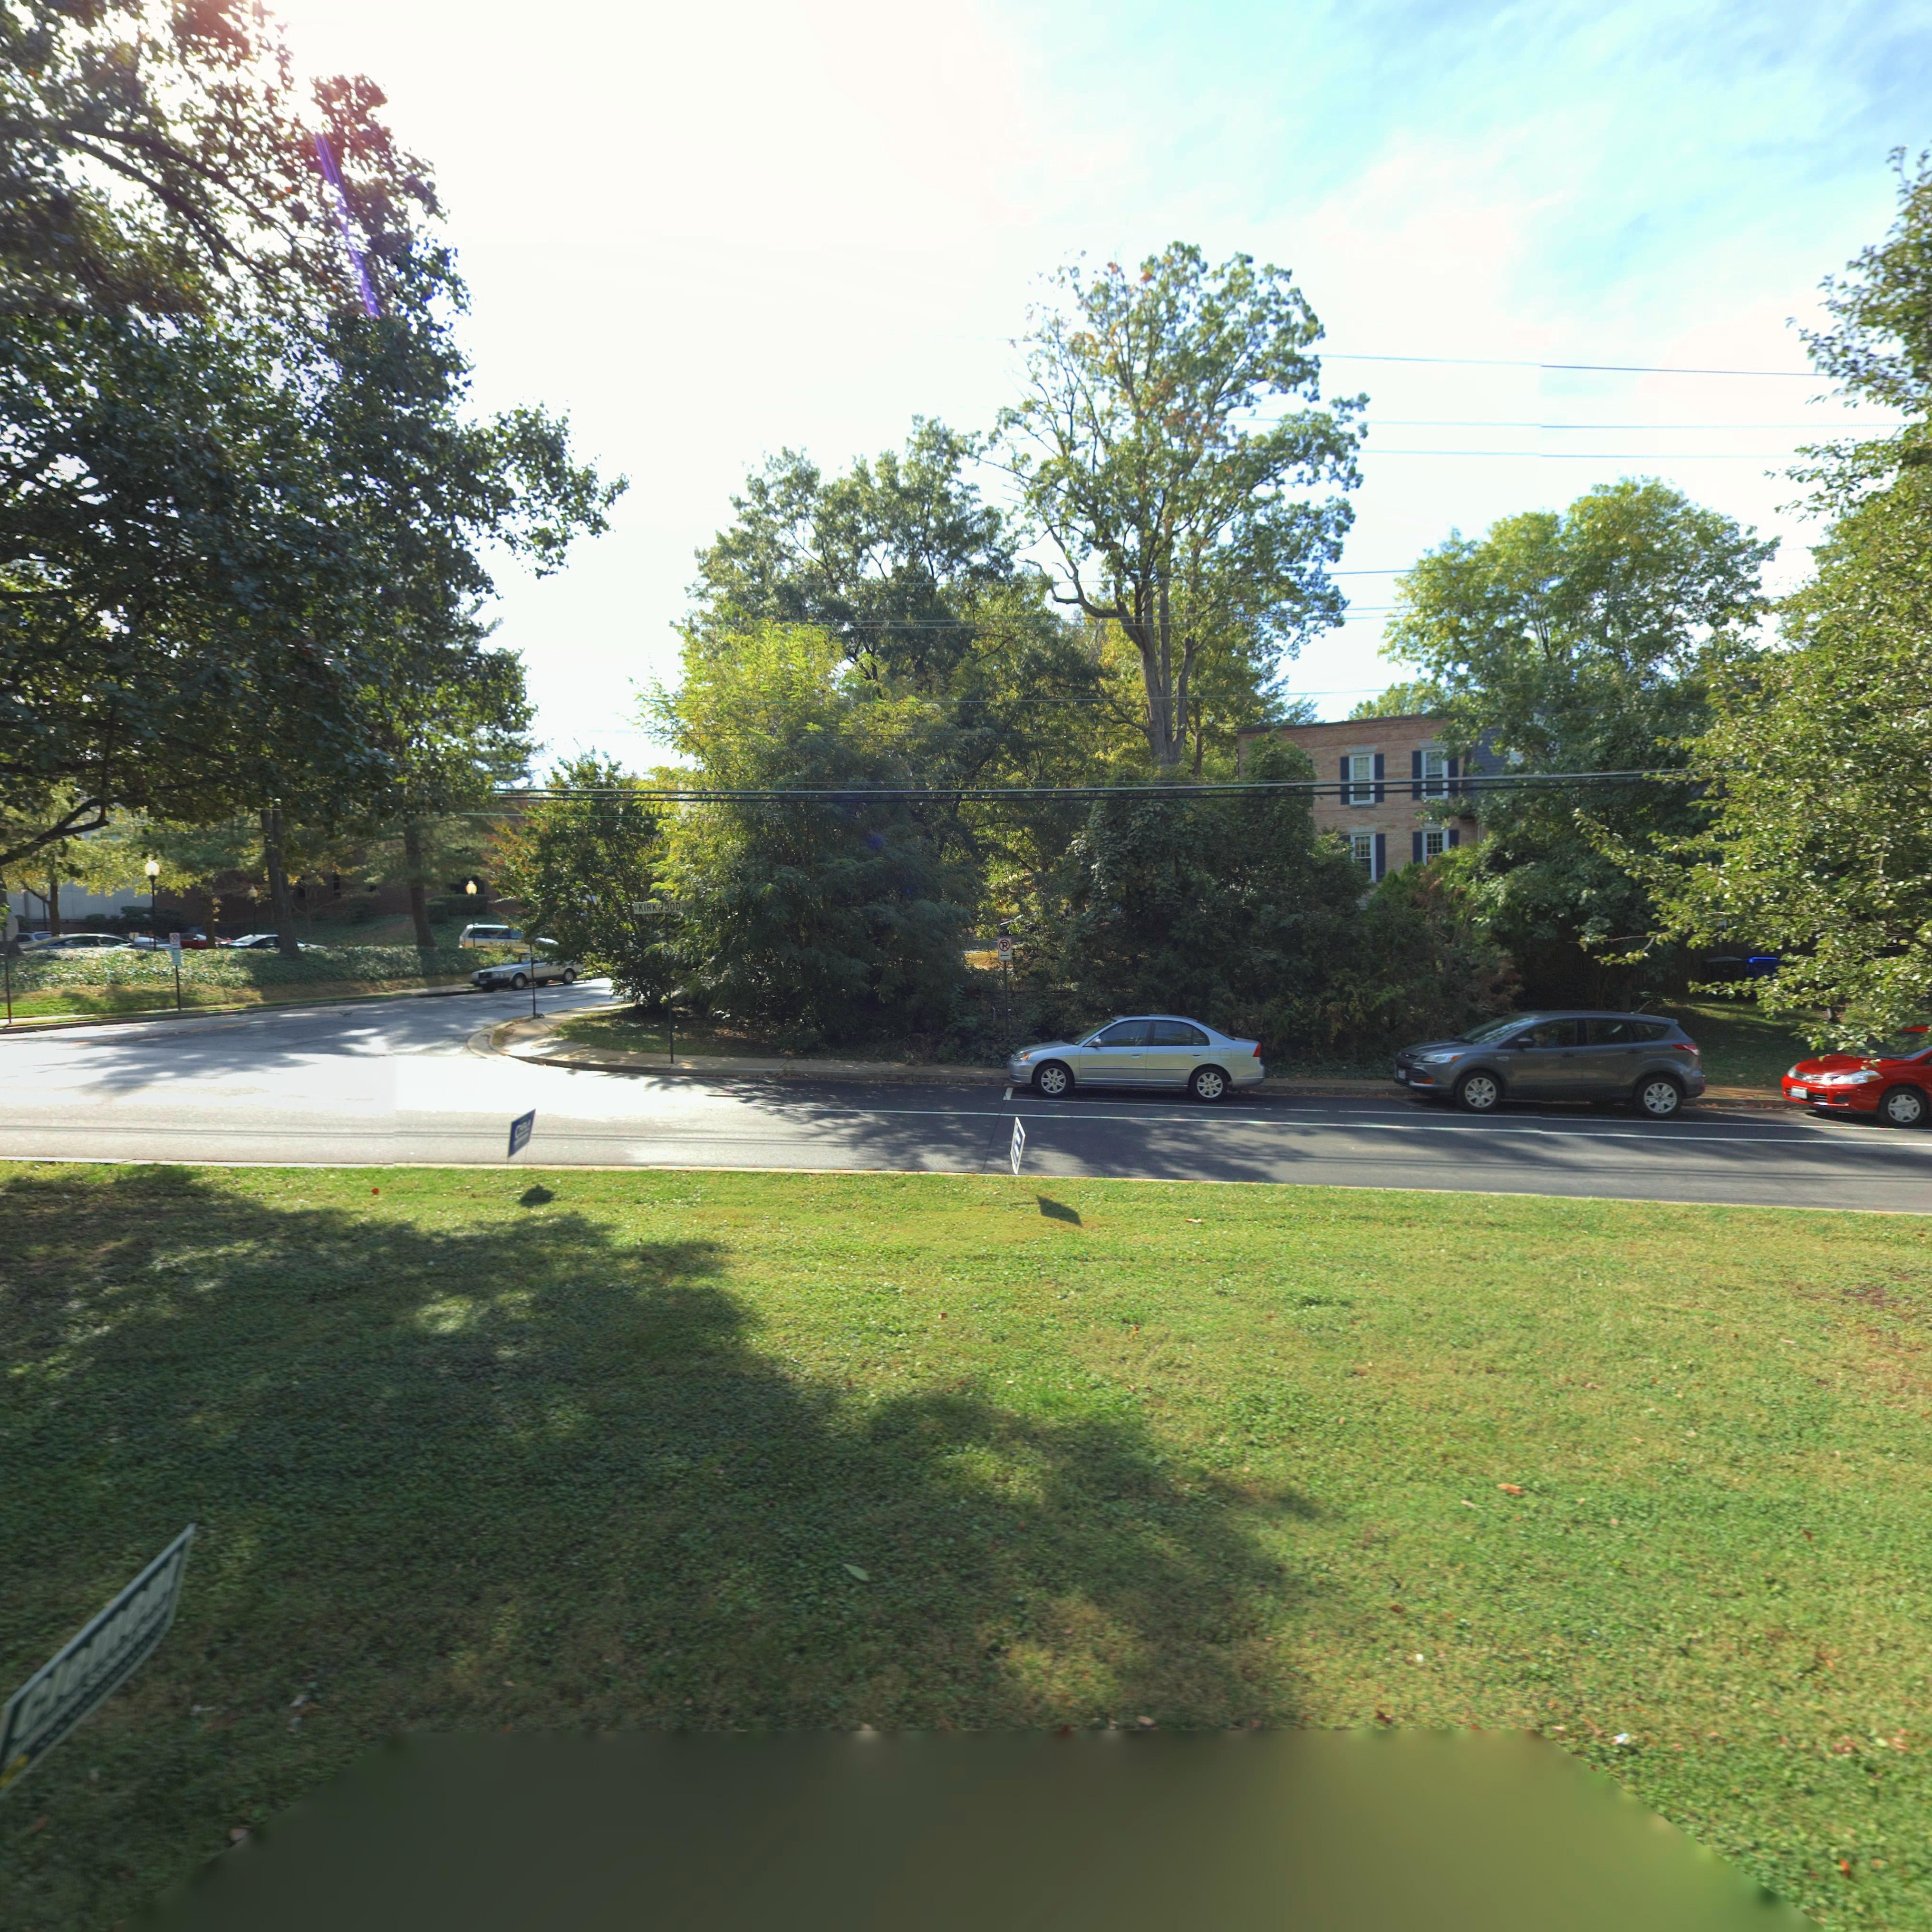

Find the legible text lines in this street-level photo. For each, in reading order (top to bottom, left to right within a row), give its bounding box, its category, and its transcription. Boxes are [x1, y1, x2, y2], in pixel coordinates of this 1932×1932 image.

[638, 902, 681, 913] StreetName: KIRK**OD
[514, 1118, 531, 1139] None: CARLA
[9, 1546, 183, 1741] None: Clement